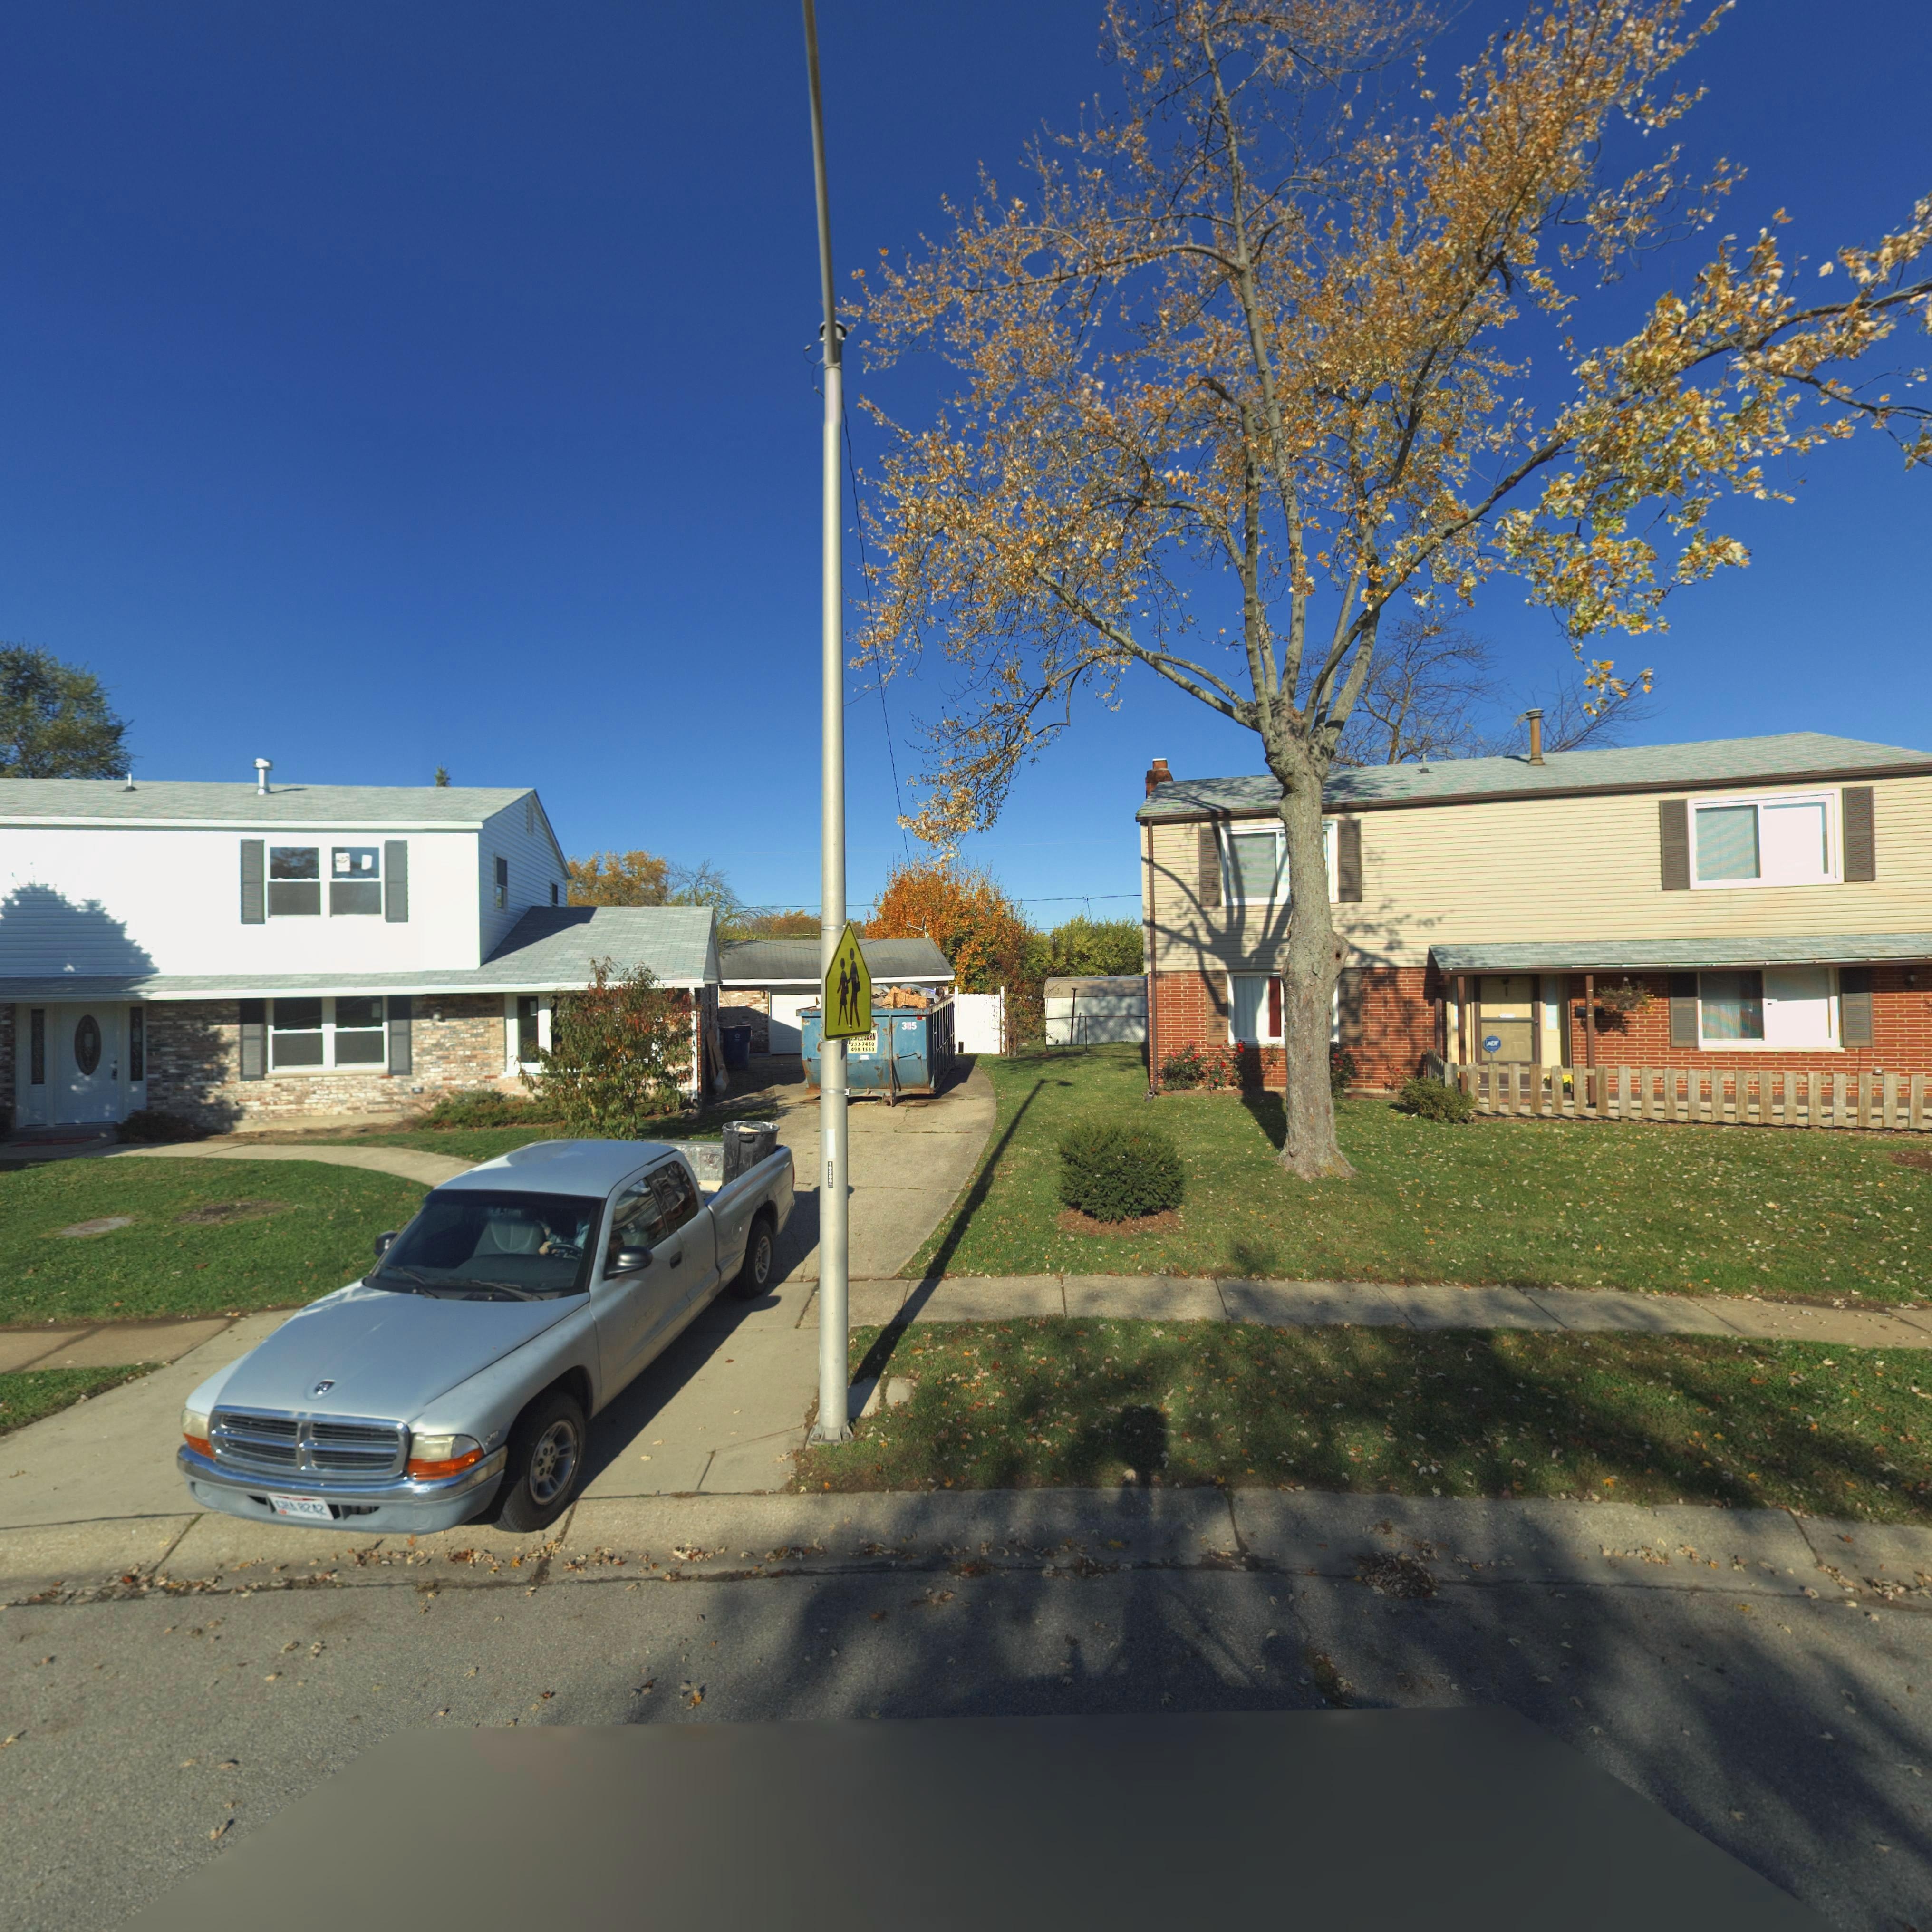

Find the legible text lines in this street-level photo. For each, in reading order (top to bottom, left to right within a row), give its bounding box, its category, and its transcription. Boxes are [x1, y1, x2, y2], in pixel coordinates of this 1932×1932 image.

[1586, 988, 1595, 1024] StreetNumber: 7813